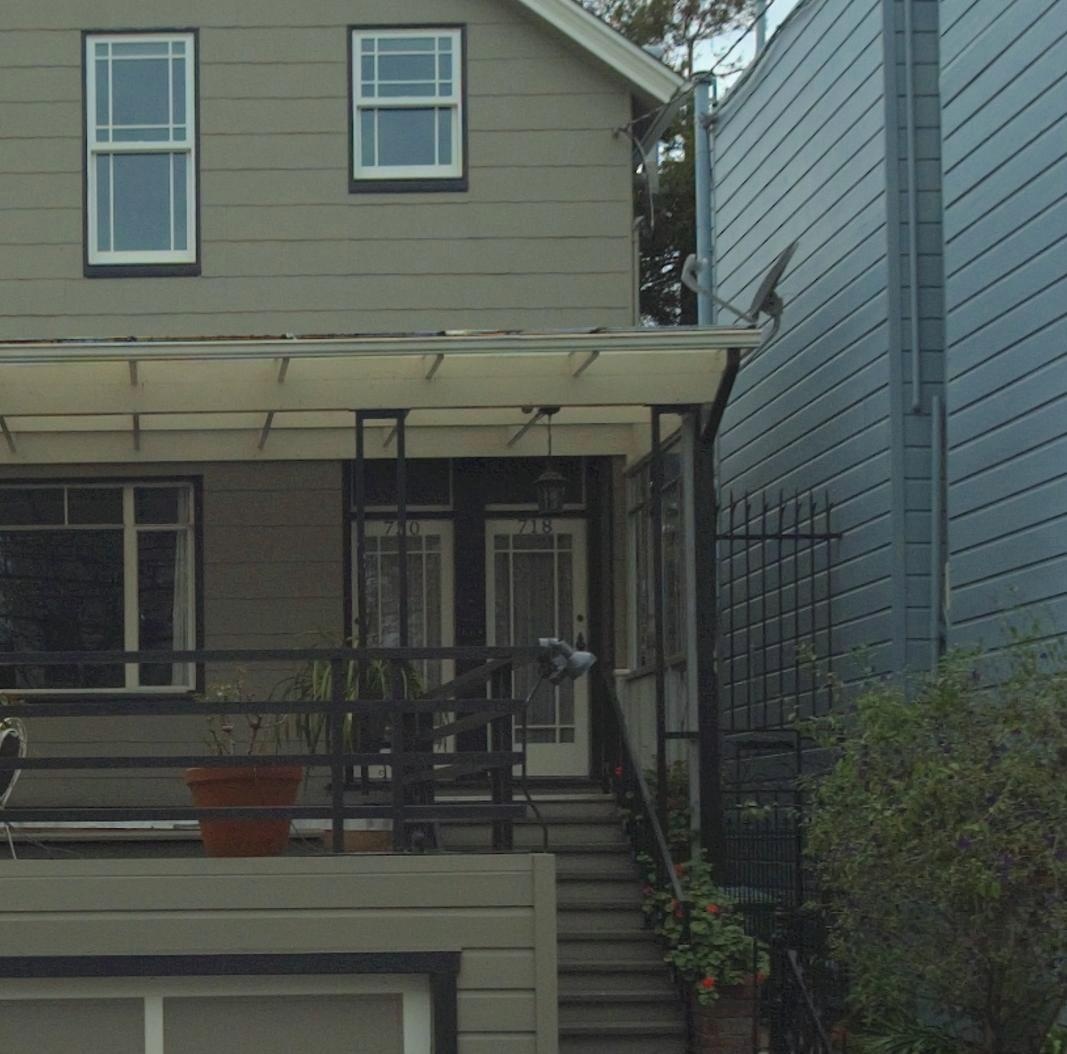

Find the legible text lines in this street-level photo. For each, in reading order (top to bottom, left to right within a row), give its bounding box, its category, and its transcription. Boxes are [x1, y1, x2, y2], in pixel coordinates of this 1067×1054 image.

[381, 519, 421, 536] StreetNumber: 7*0
[516, 517, 554, 535] StreetNumber: 718